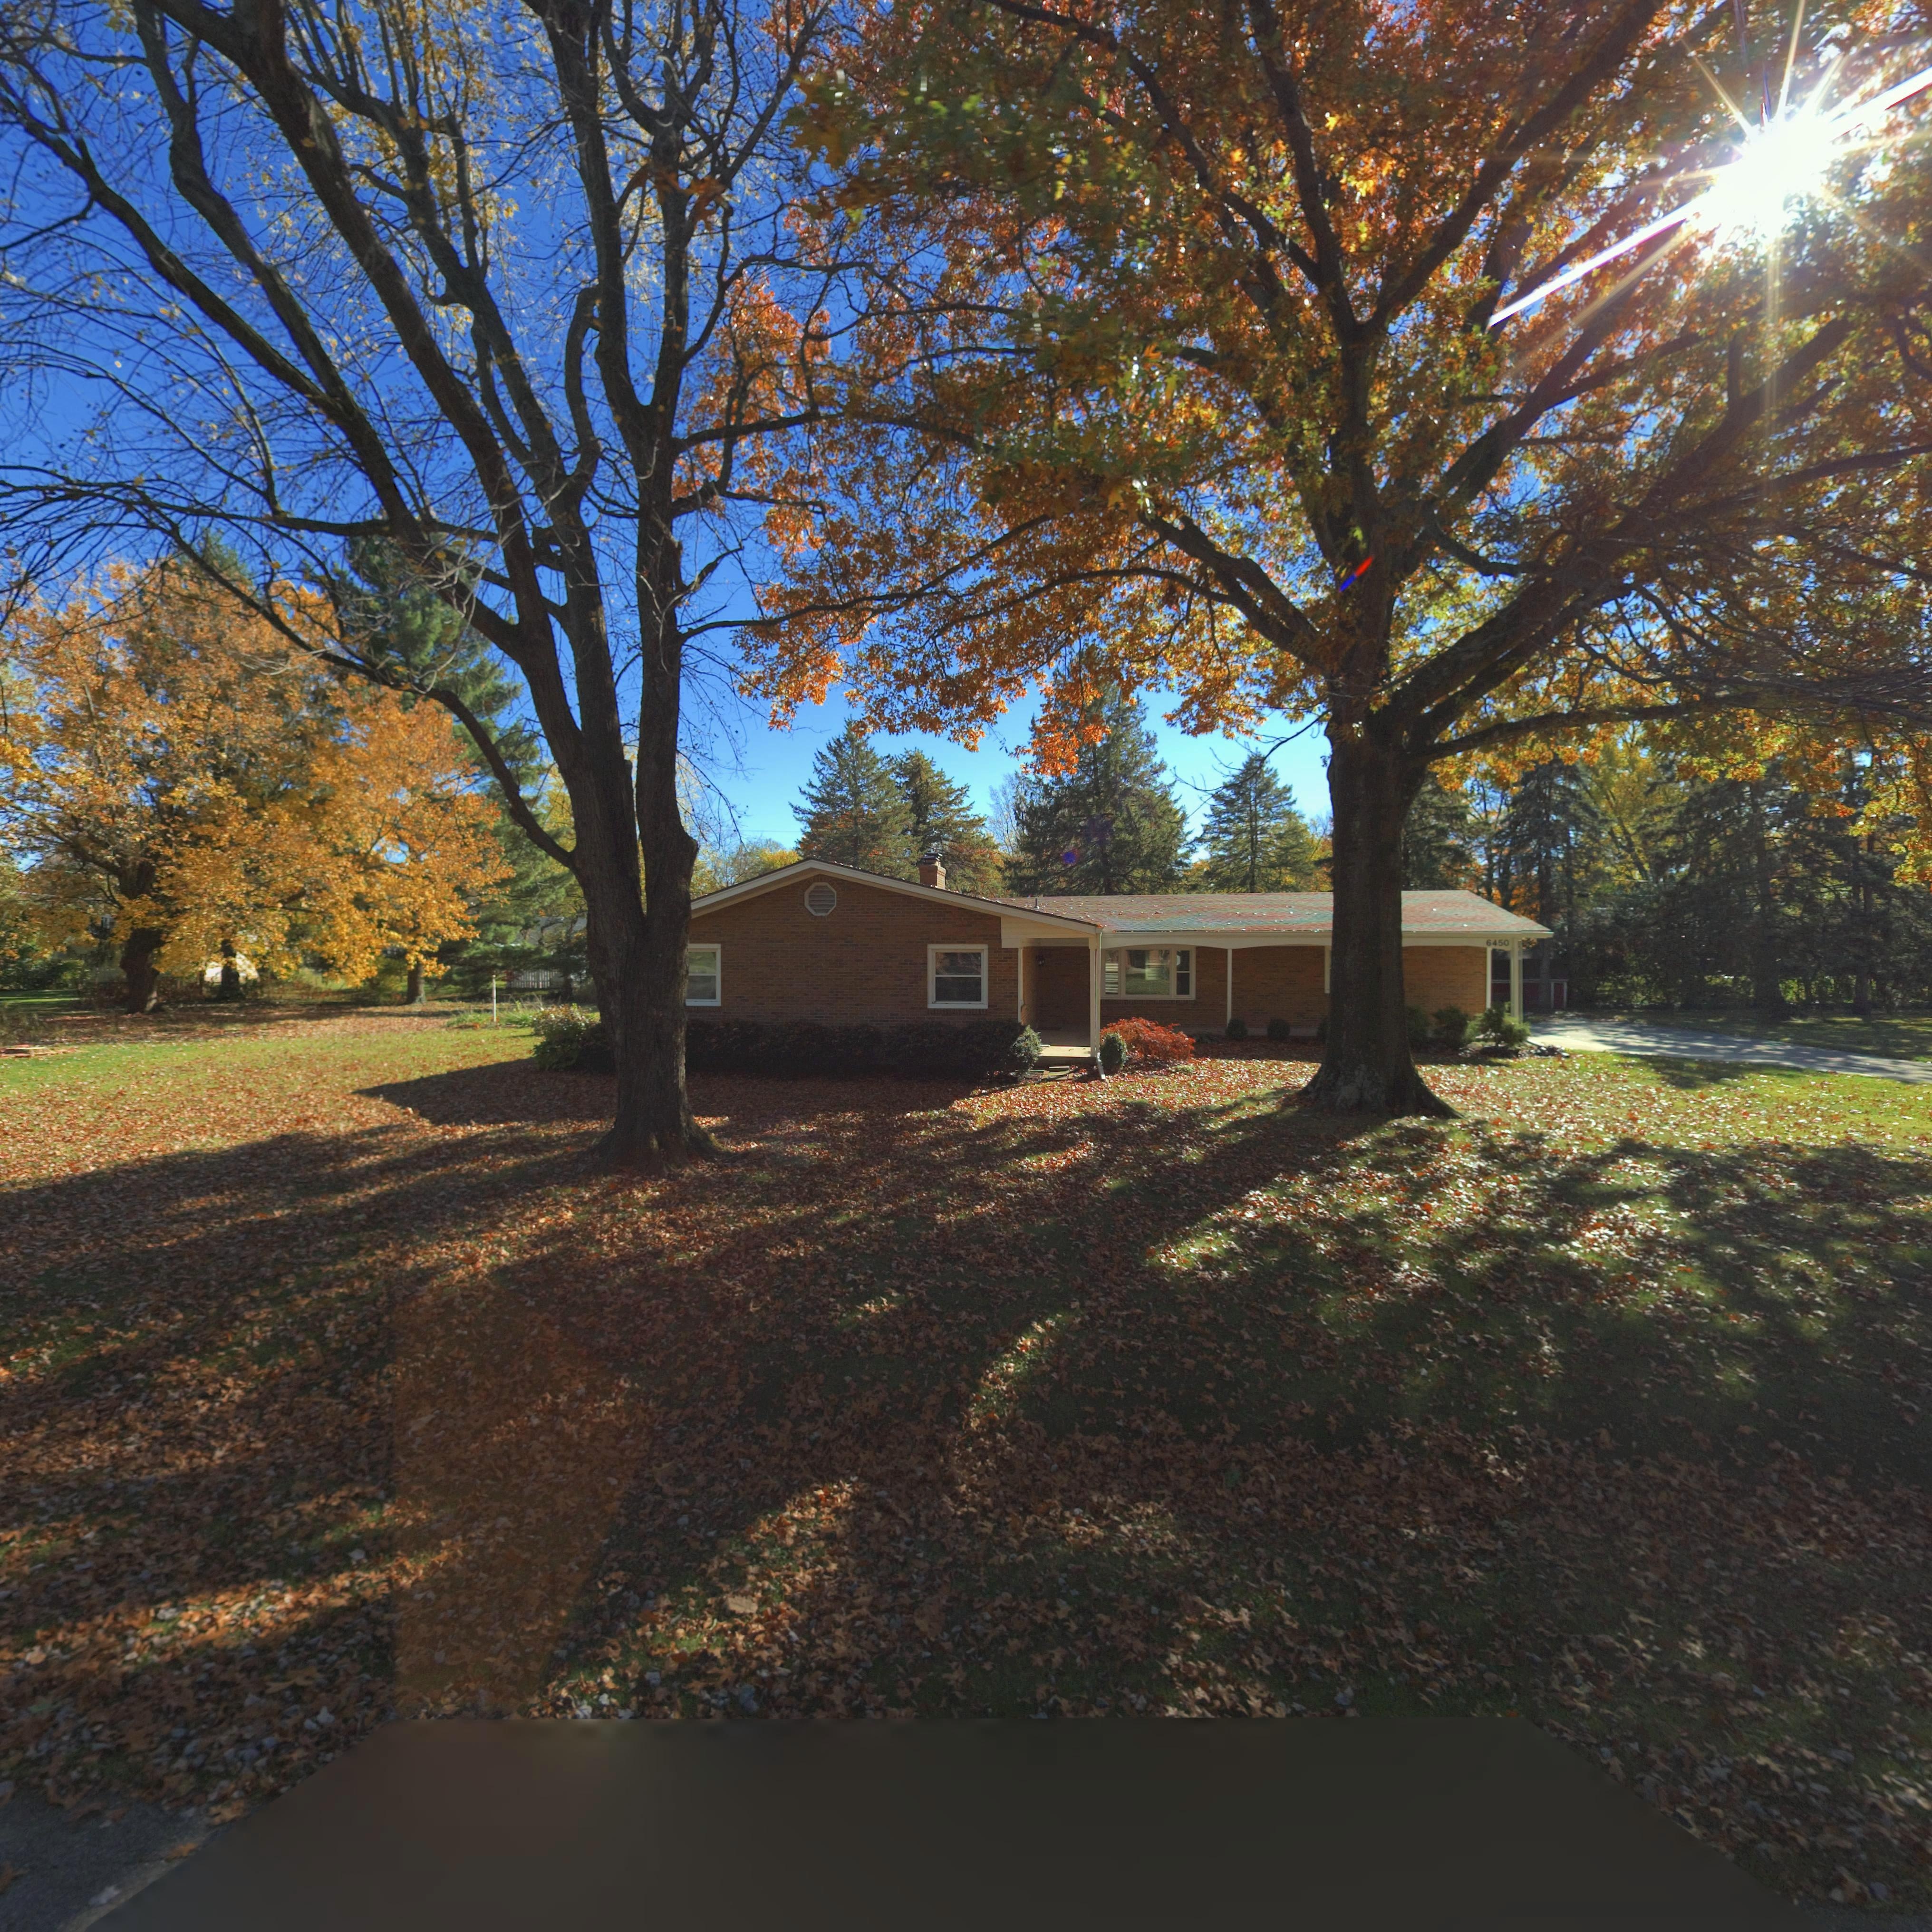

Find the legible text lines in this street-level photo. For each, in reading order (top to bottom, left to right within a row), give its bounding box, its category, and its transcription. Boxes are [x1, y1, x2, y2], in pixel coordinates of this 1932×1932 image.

[1486, 939, 1510, 947] StreetNumber: 6450